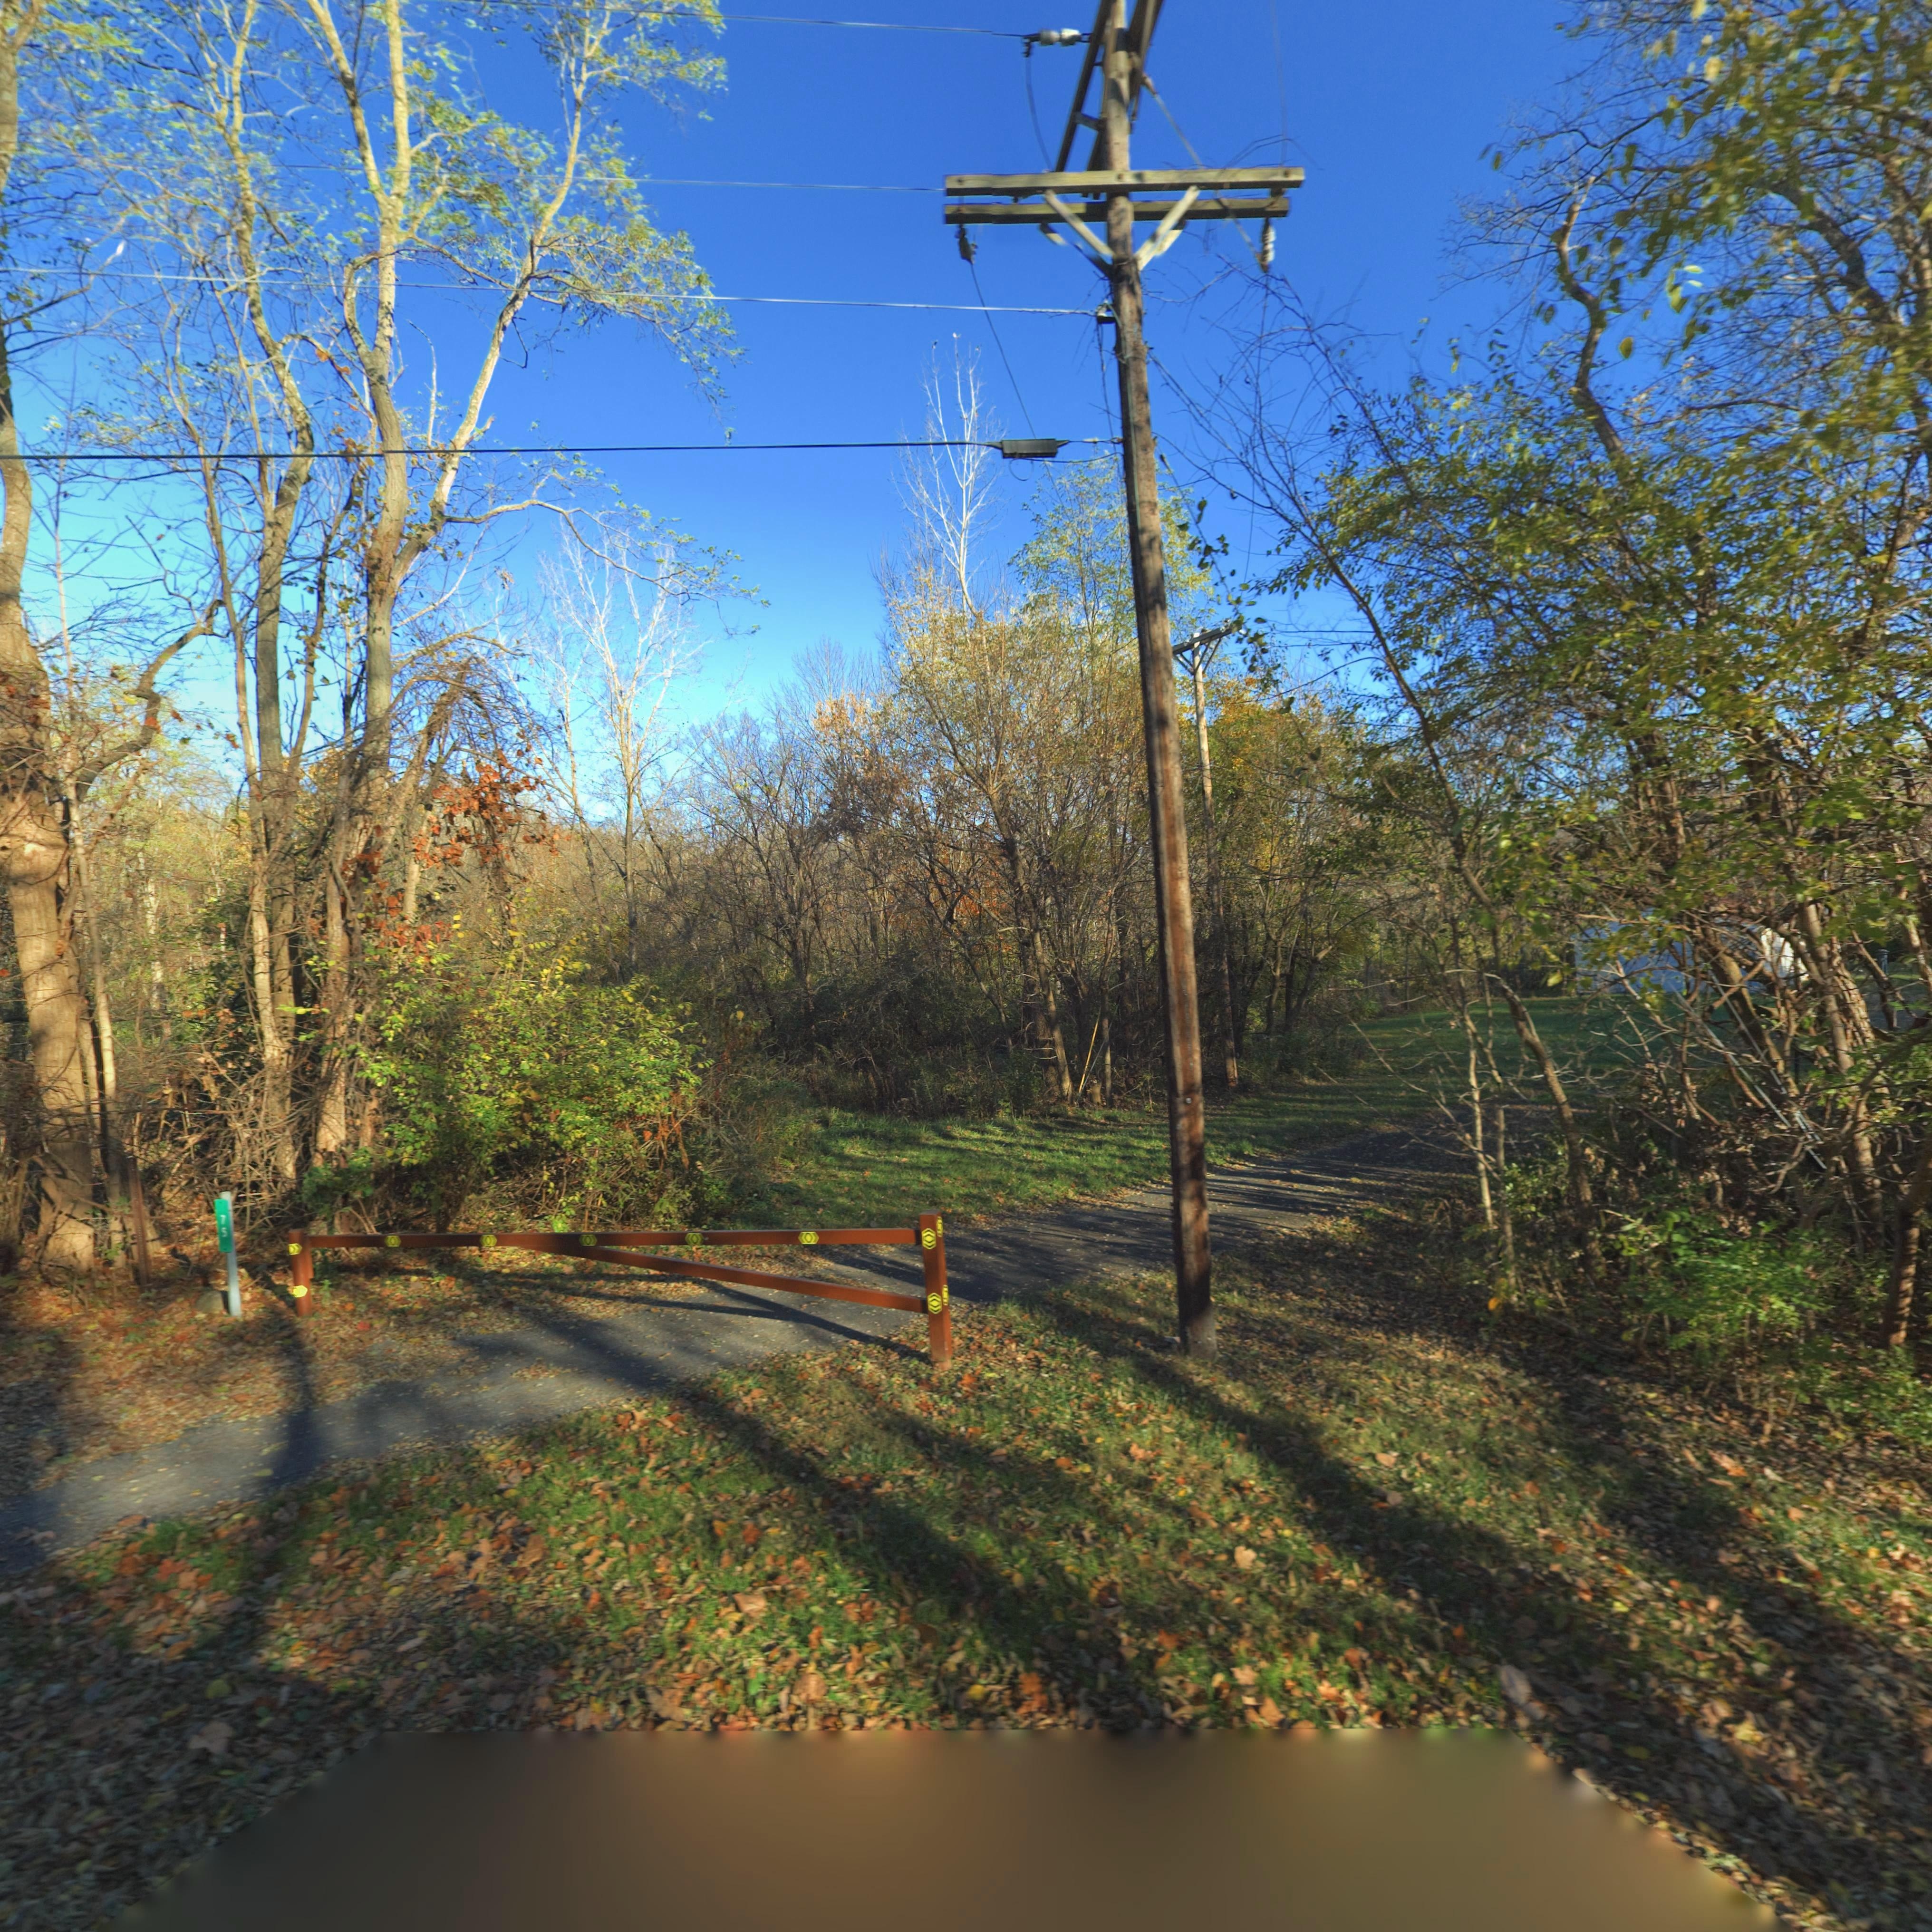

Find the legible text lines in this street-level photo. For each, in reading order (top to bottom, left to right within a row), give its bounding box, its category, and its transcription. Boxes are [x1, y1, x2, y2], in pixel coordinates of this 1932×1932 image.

[218, 1213, 229, 1238] StreetNumber: 75